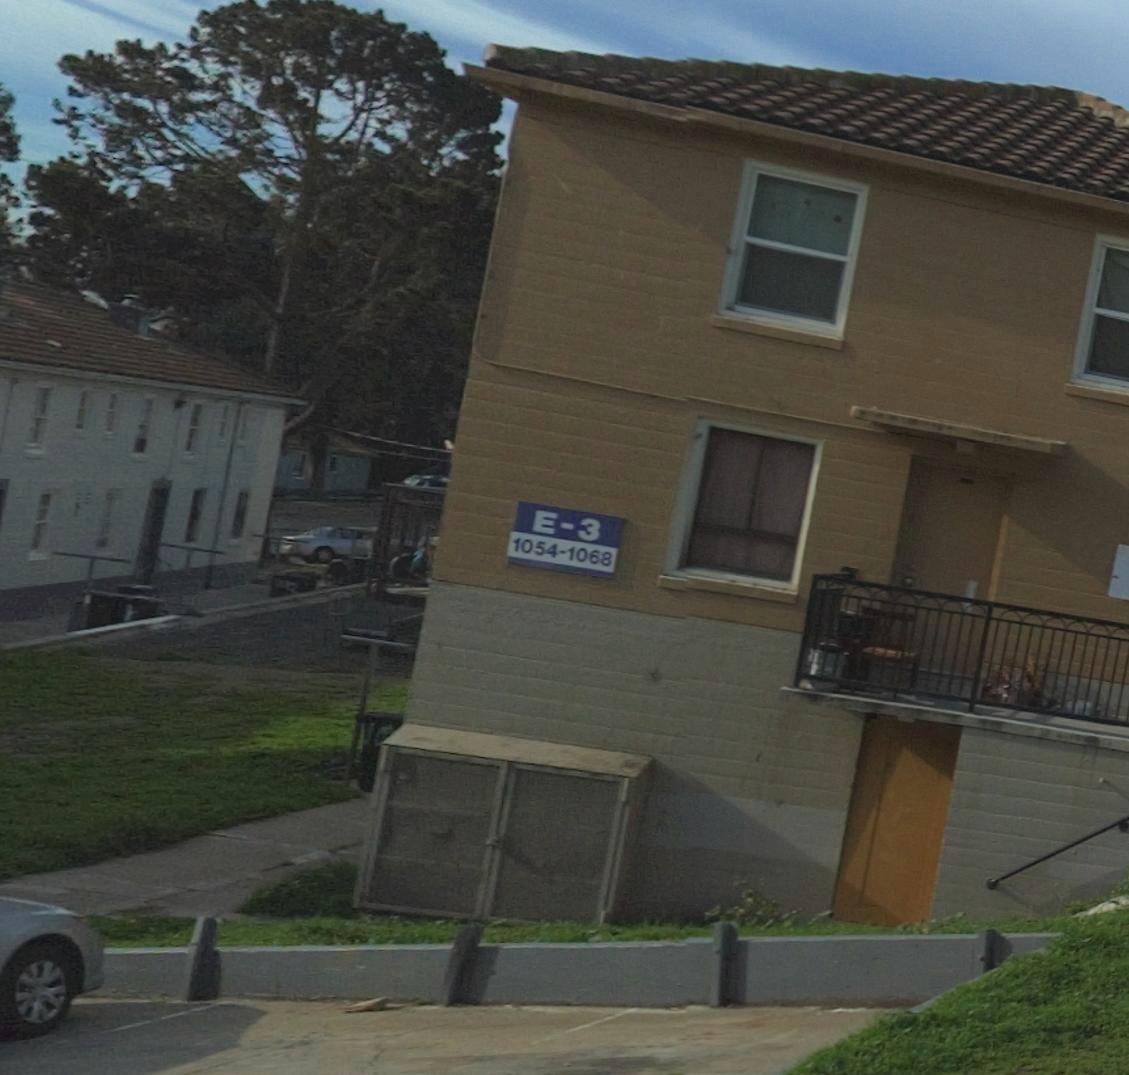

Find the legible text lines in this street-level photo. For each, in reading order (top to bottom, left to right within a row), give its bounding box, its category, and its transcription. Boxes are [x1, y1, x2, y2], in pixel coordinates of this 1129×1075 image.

[531, 508, 604, 544] None: E-3
[513, 535, 560, 560] StreetNumber: 1054
[567, 544, 615, 568] StreetNumber: 1068